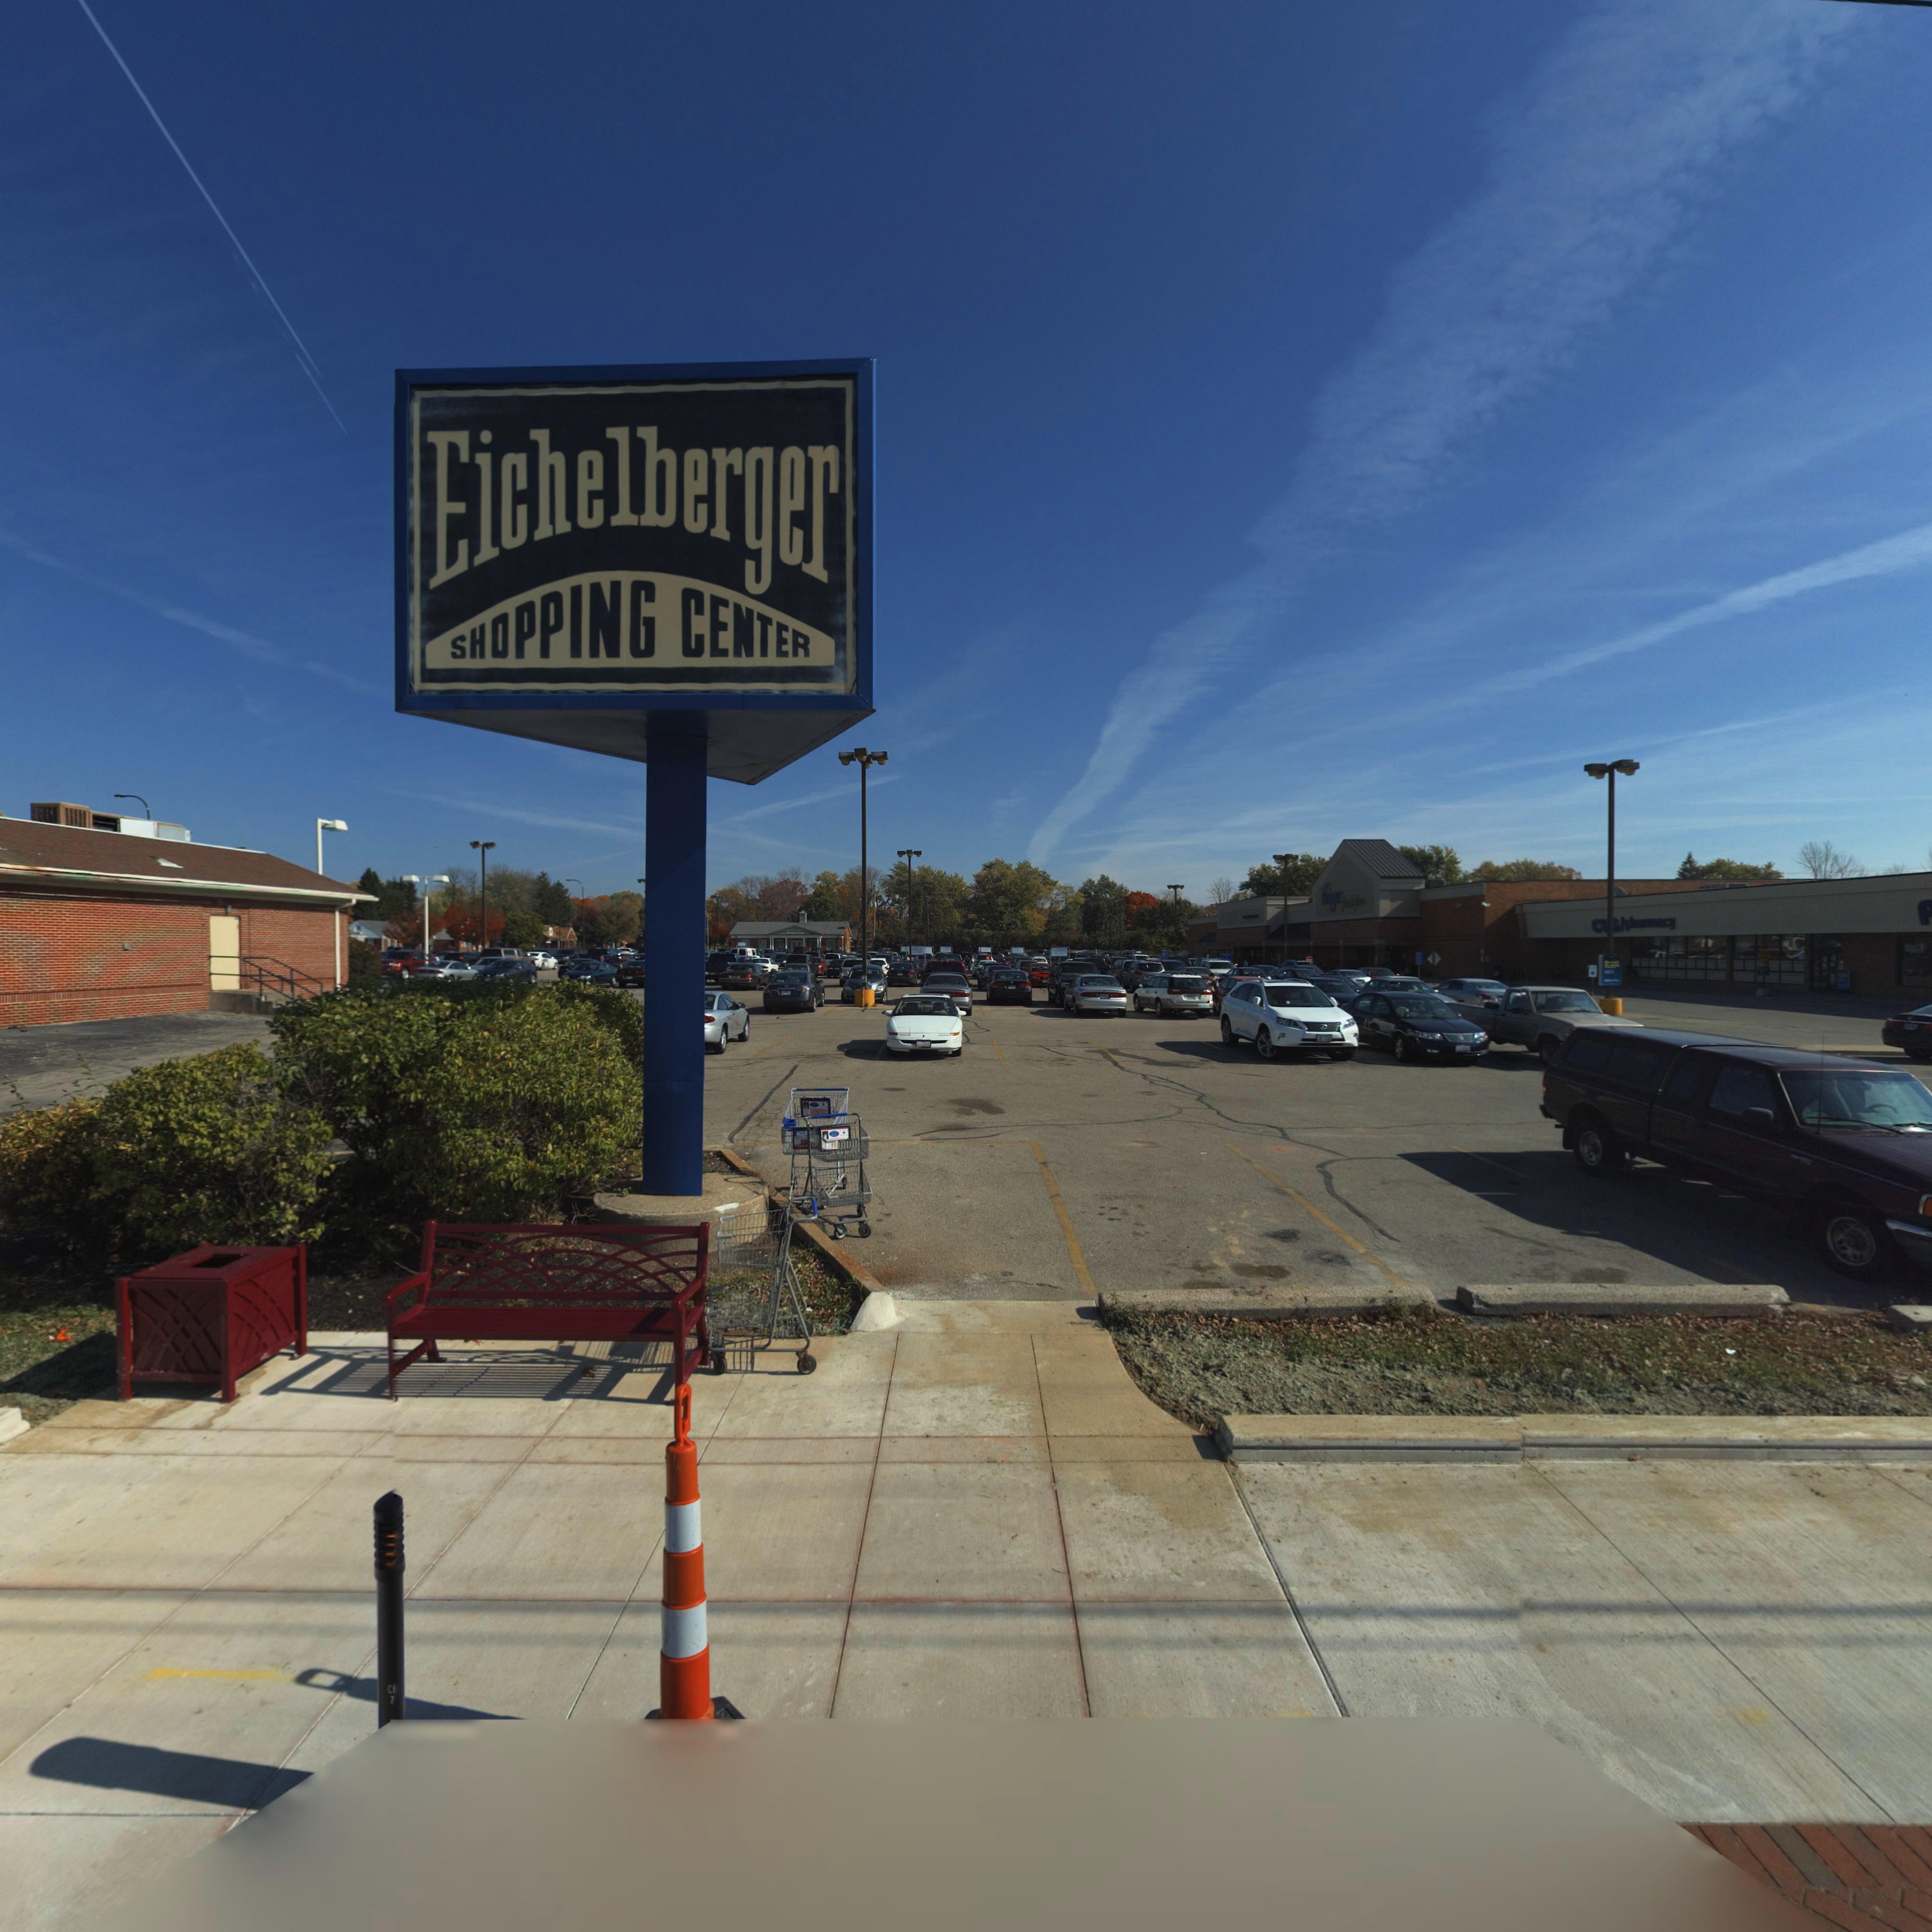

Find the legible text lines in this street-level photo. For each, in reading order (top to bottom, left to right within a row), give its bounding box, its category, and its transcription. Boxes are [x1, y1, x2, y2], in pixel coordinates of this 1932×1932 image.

[425, 425, 840, 597] None: Eichelberger
[450, 580, 811, 660] None: SHOPPING CENTER
[1591, 918, 1620, 934] BusinessName: C**